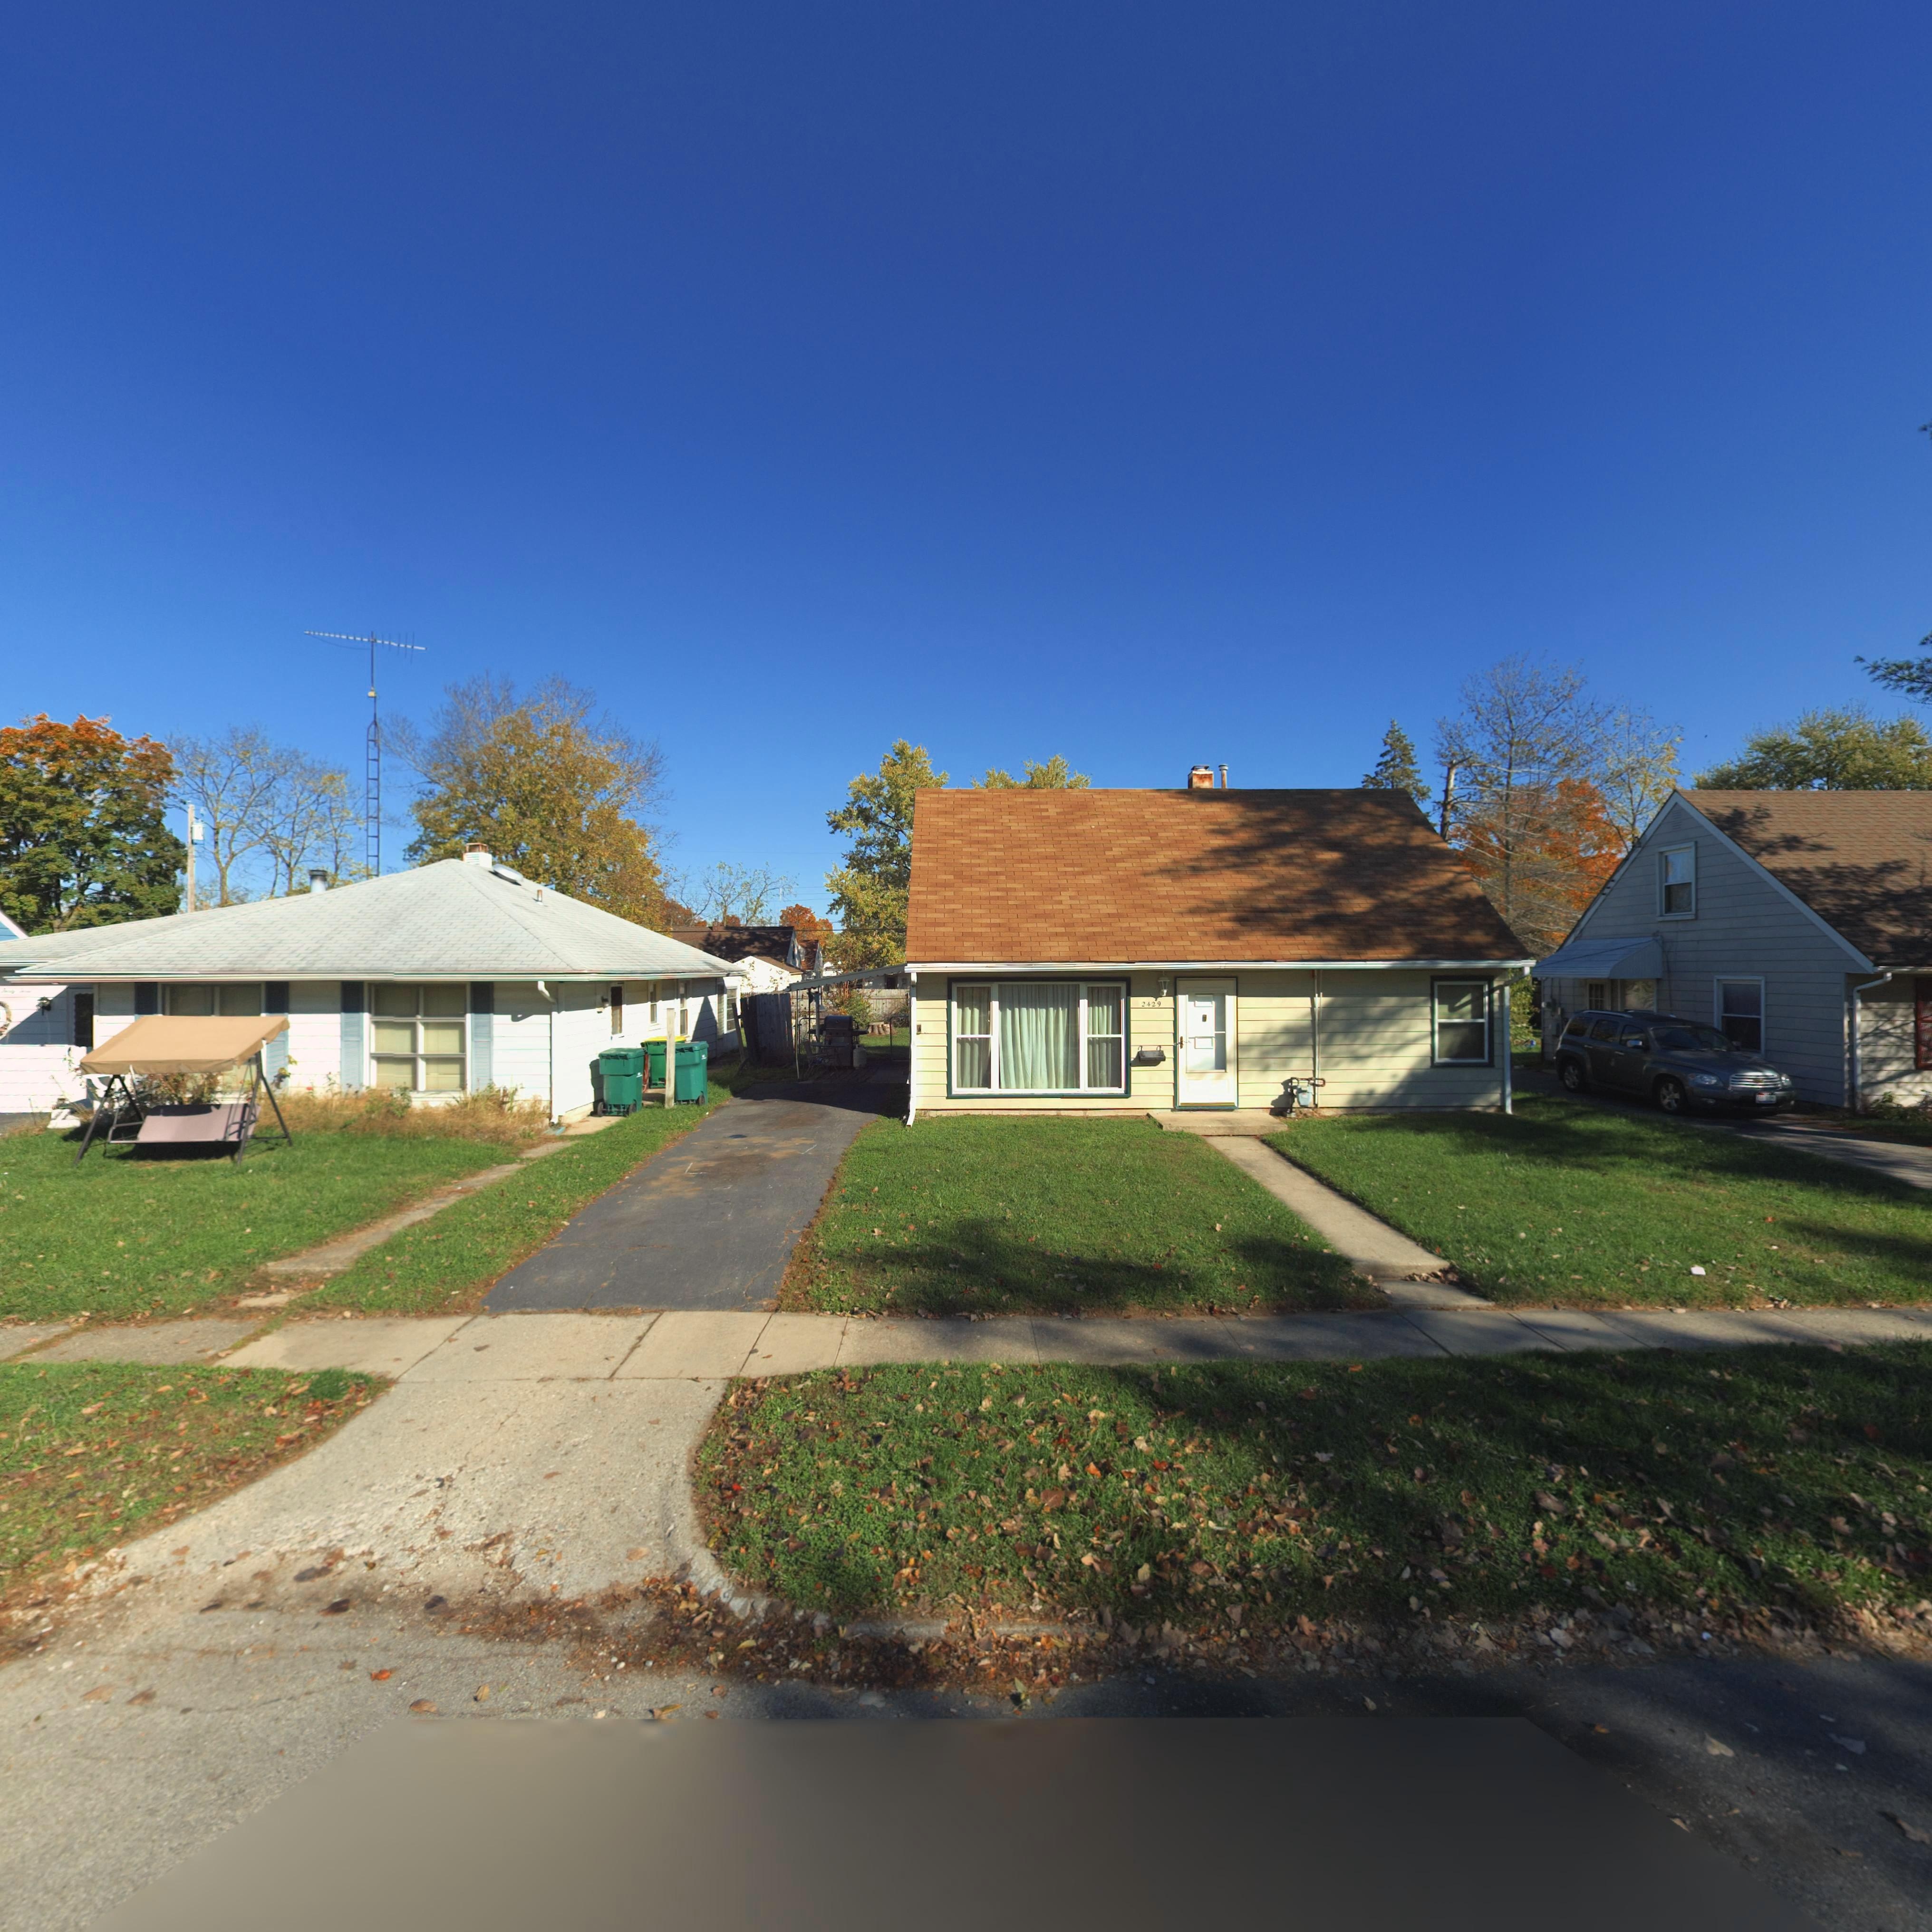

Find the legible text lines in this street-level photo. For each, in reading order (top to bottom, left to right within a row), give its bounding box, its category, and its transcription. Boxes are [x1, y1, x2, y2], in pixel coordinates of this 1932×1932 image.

[1141, 1001, 1161, 1007] StreetNumber: 2429